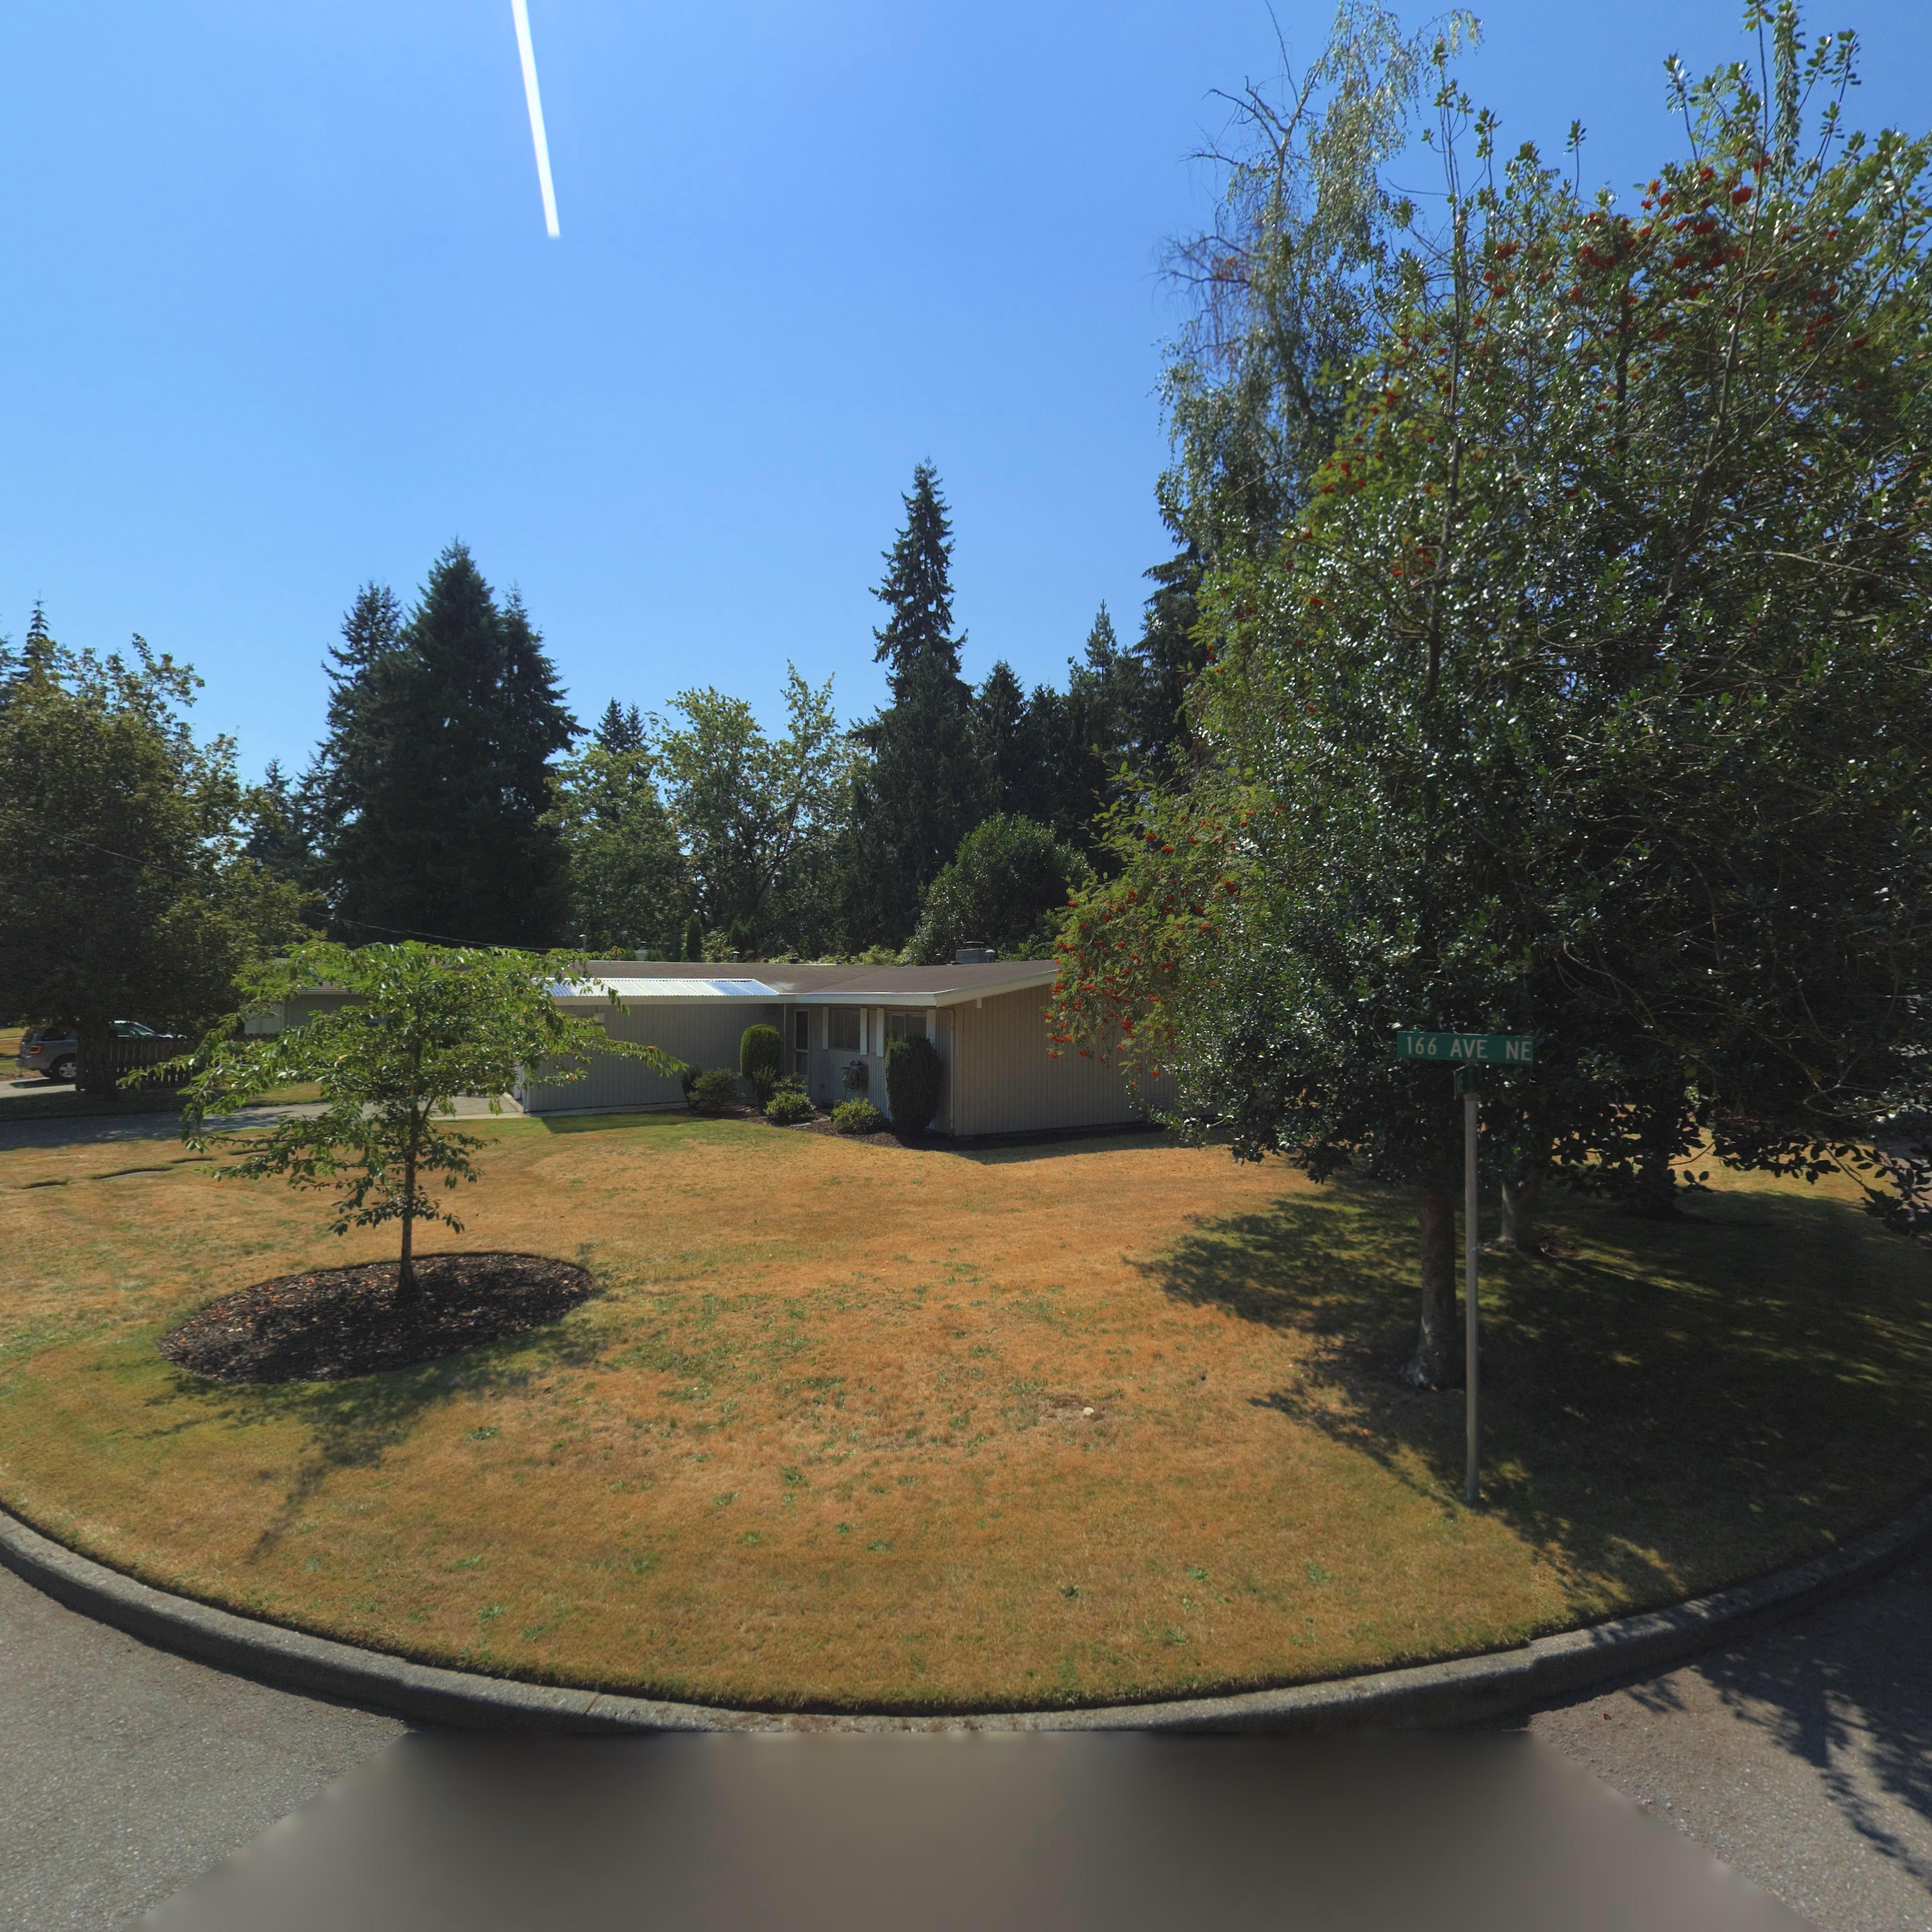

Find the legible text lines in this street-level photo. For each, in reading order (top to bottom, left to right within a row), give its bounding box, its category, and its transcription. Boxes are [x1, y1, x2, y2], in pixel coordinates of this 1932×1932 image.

[1407, 1036, 1531, 1060] StreetName: 166 AVE NE
[1455, 1073, 1465, 1098] StreetName: NE *